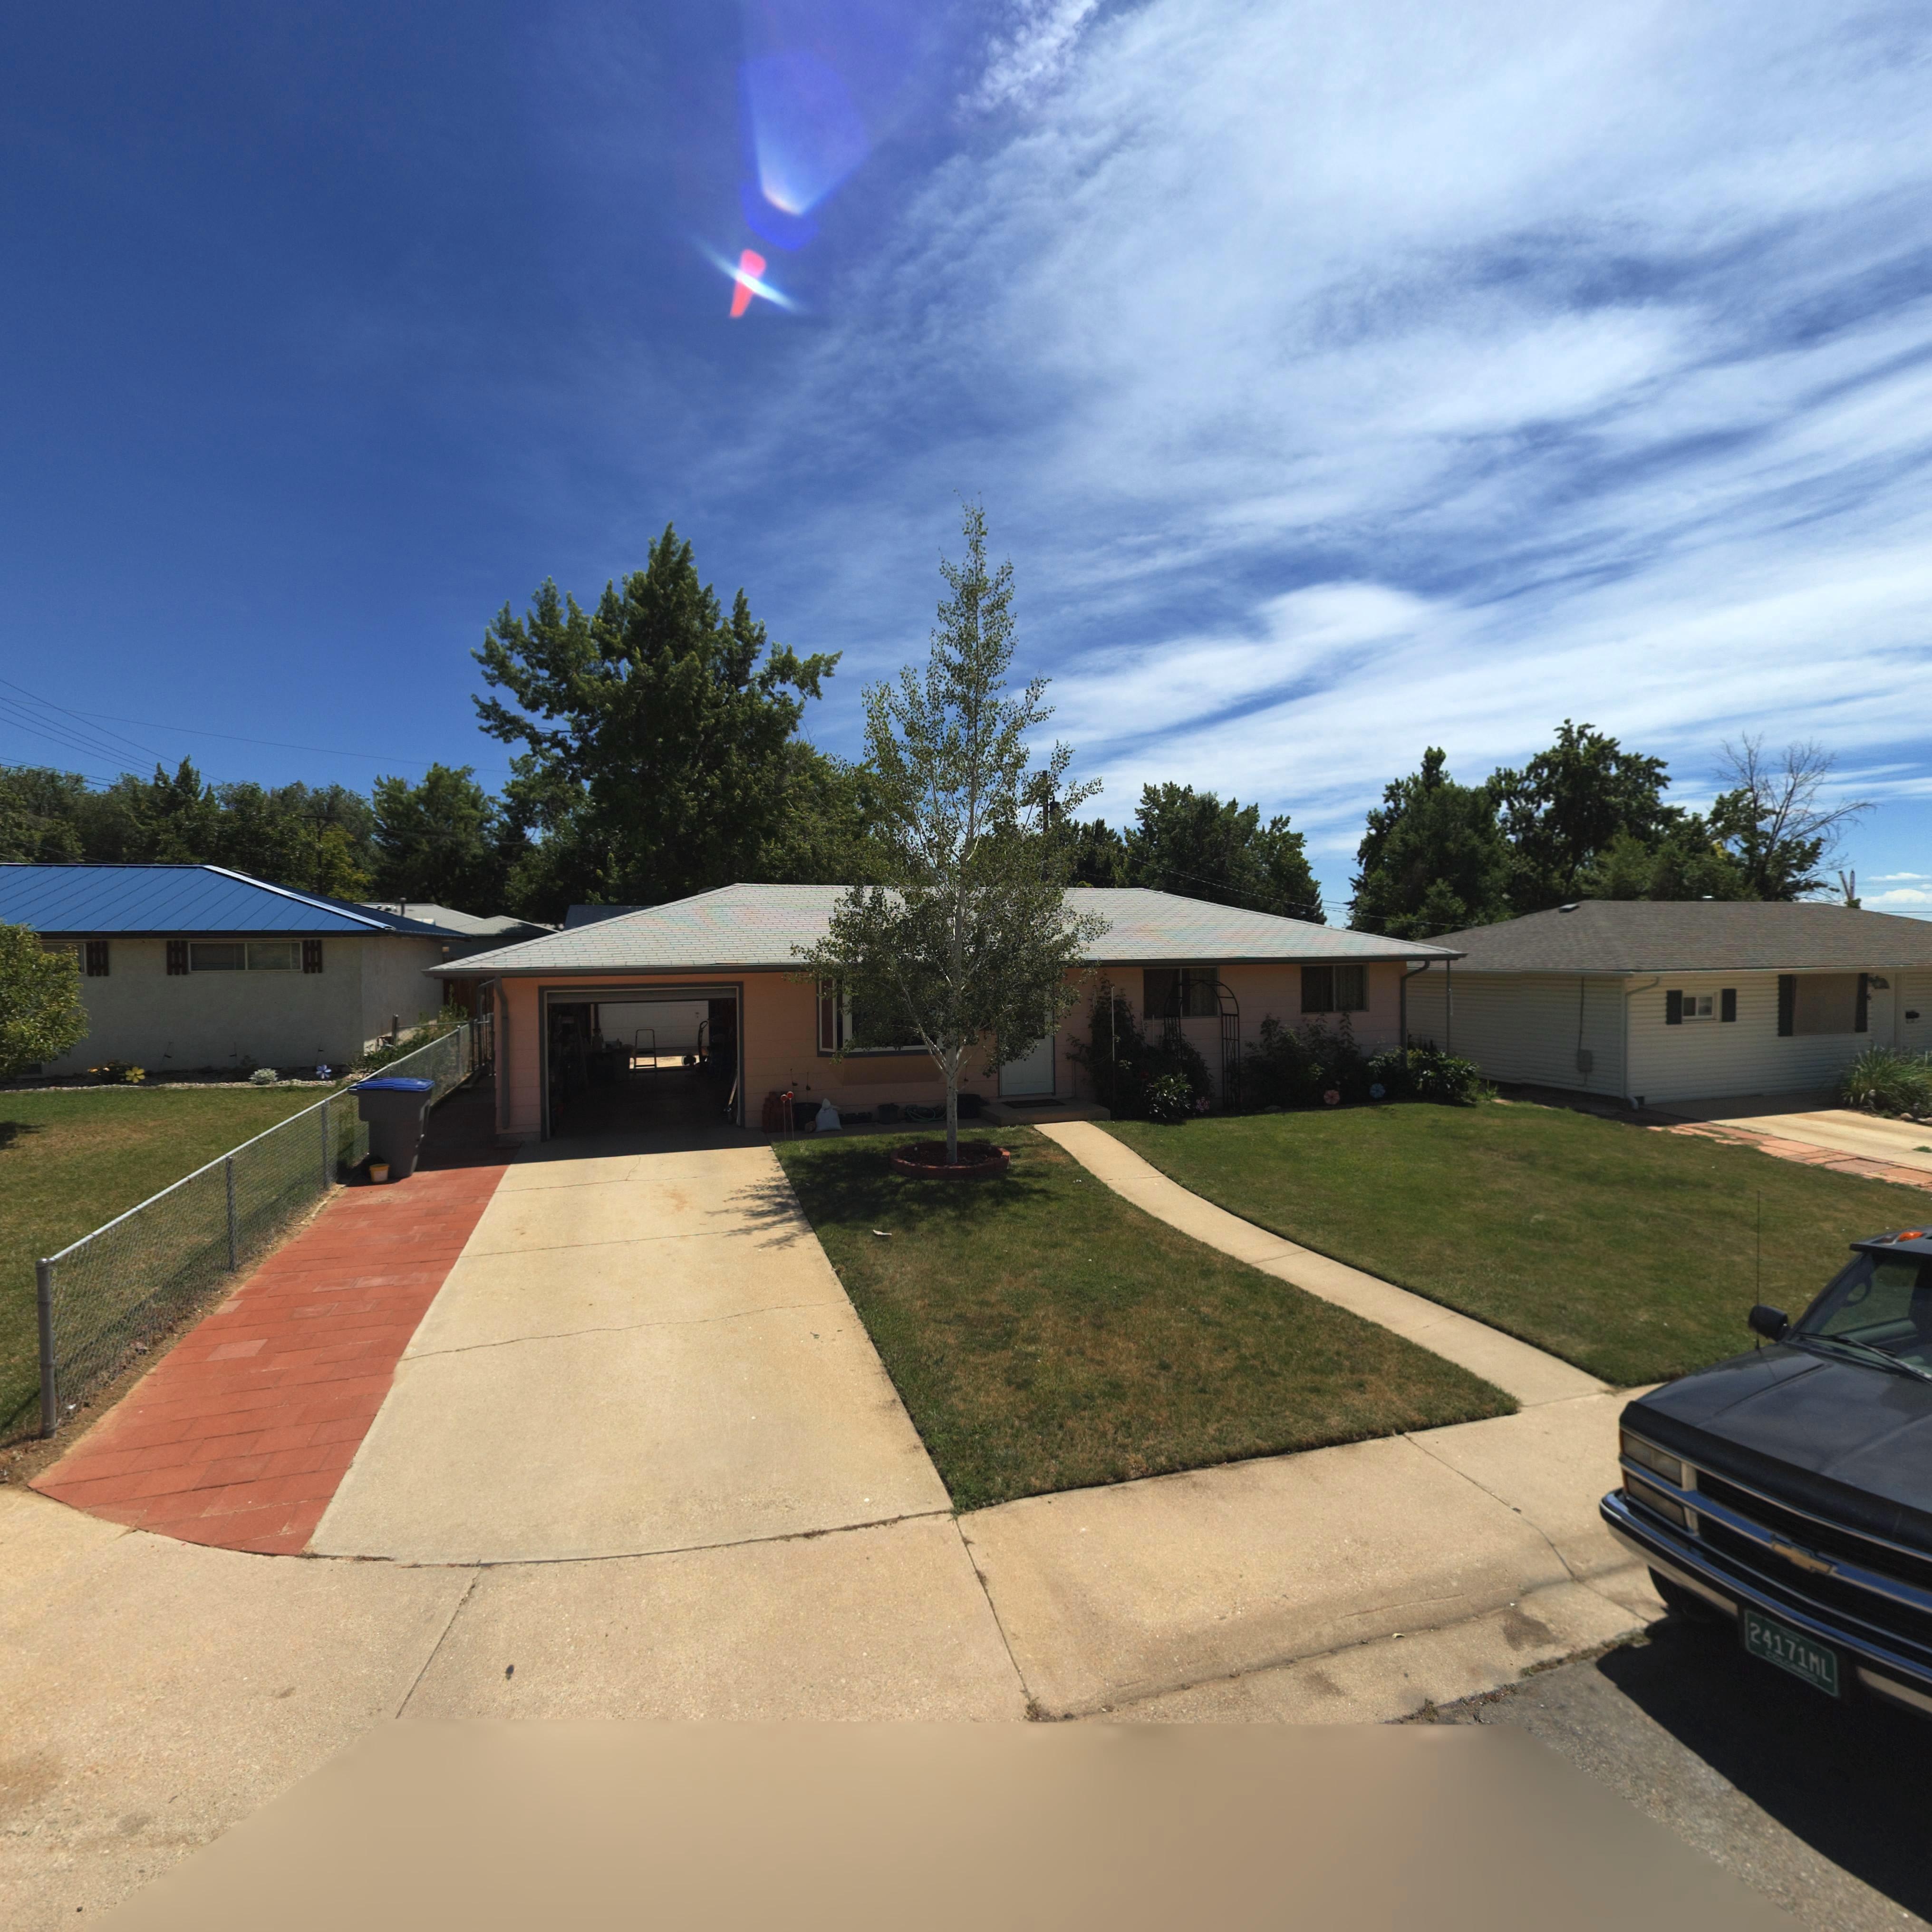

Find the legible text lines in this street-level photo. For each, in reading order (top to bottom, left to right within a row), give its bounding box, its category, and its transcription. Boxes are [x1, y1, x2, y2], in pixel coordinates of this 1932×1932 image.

[1866, 992, 1872, 1001] StreetNumber: 6